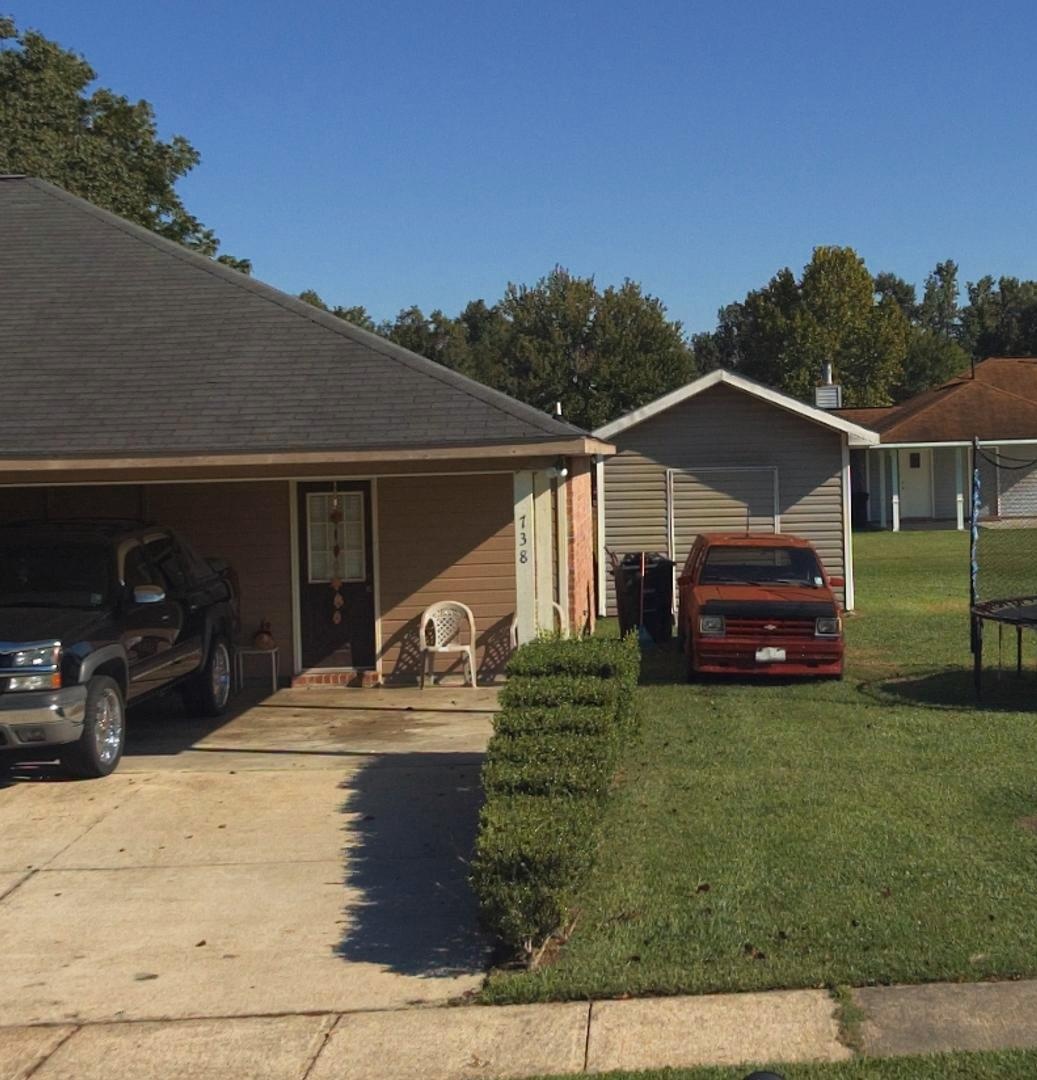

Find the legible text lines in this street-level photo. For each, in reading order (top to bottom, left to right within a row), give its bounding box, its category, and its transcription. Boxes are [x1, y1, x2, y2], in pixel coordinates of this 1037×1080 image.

[518, 514, 528, 564] StreetNumber: 738